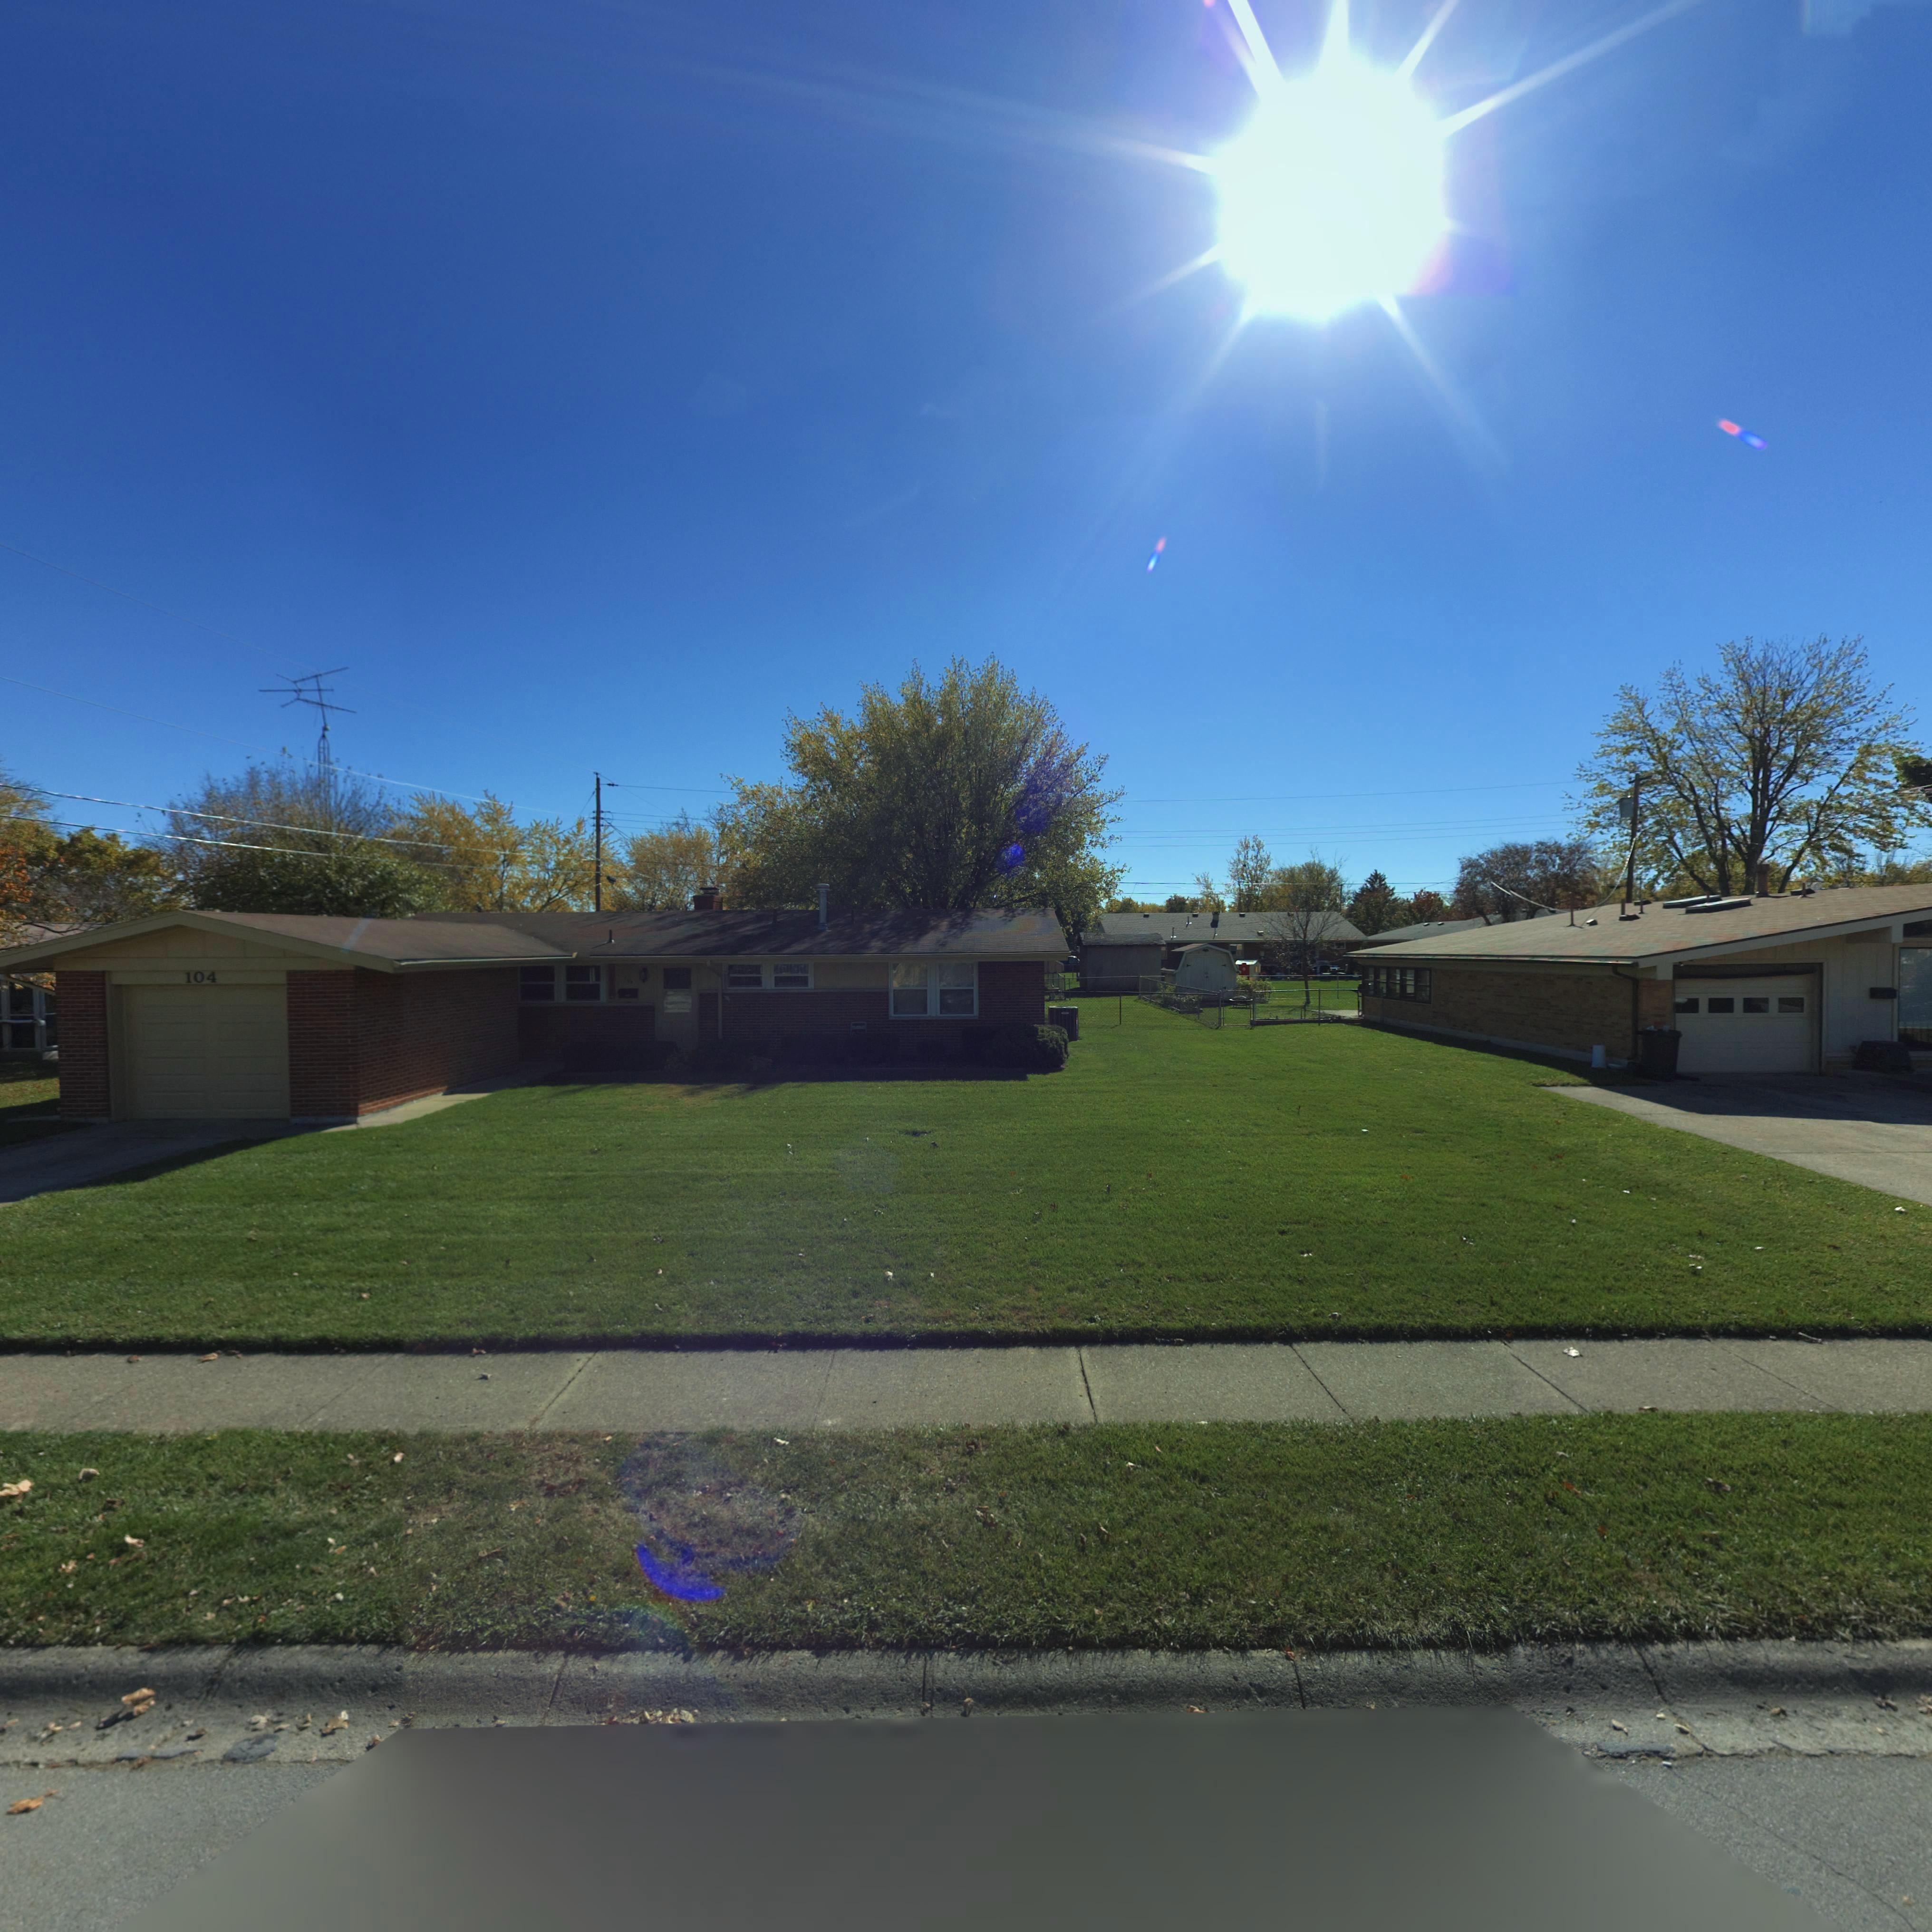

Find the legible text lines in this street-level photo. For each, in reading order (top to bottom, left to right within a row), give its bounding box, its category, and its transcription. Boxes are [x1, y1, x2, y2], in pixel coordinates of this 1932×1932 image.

[184, 970, 218, 984] StreetNumber: 104